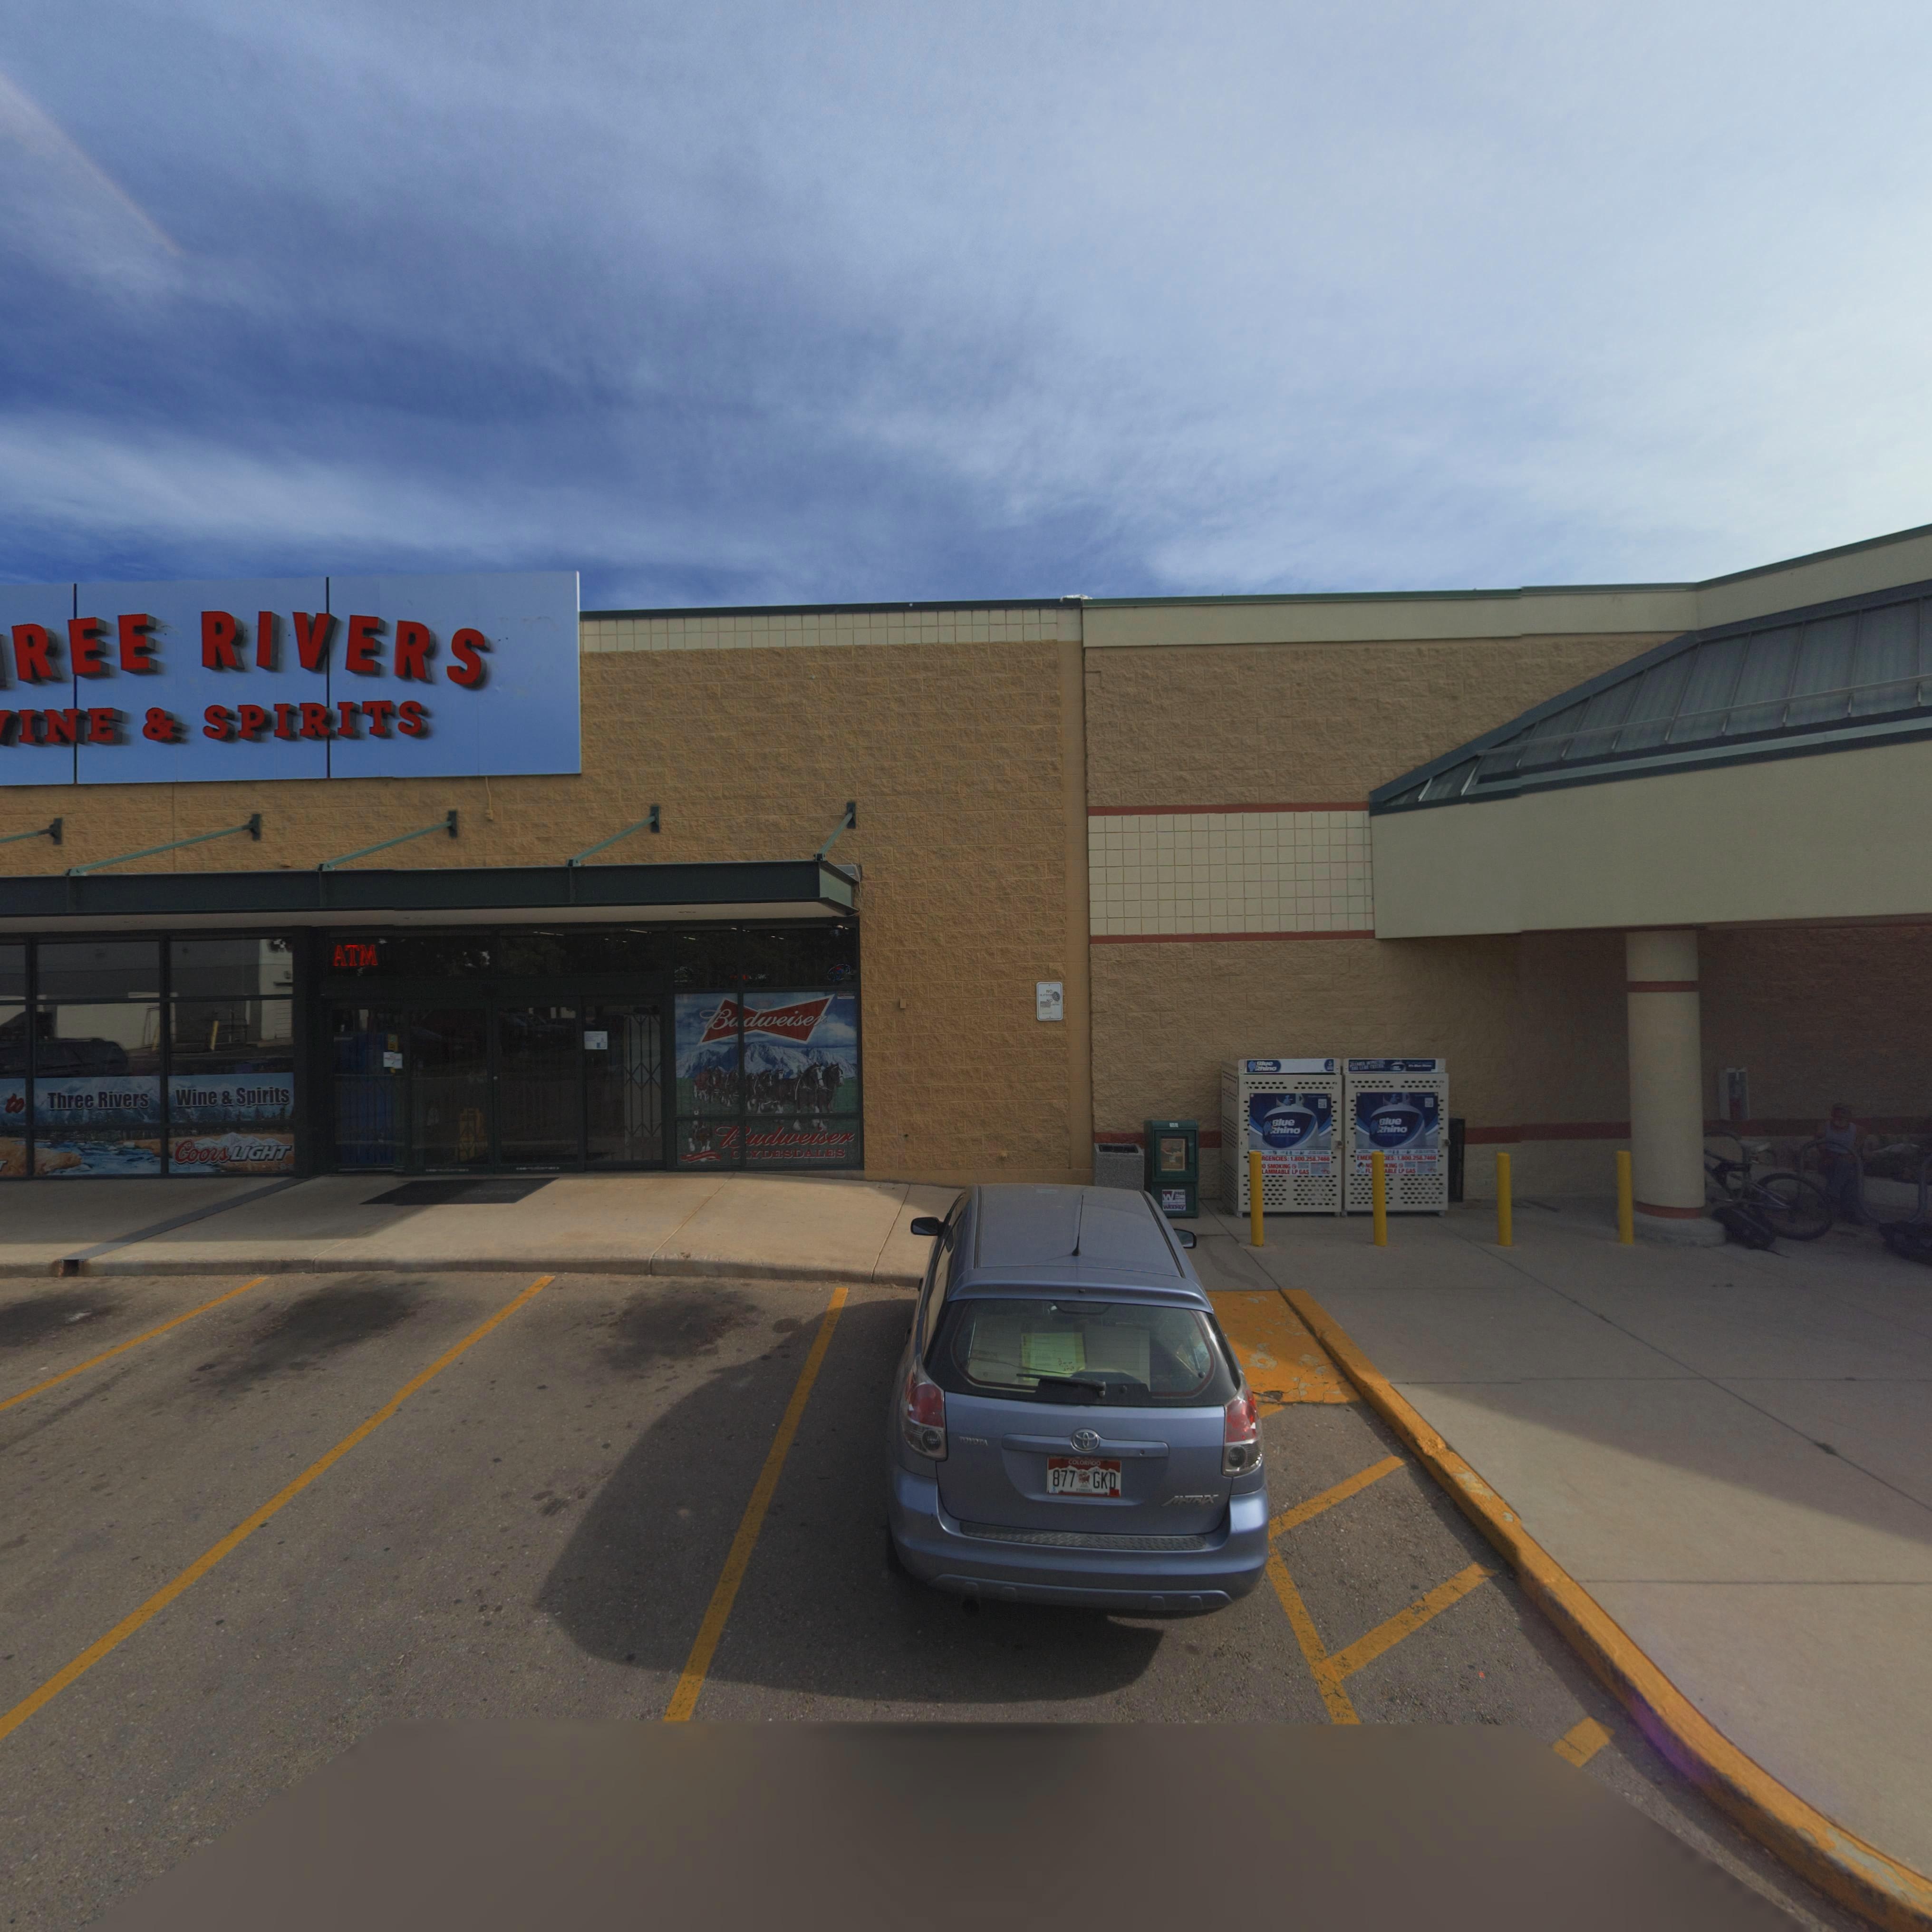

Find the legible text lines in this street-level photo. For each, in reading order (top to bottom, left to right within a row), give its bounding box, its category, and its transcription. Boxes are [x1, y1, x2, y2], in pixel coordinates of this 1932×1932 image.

[11, 609, 489, 689] BusinessName: REE RIVERS
[16, 700, 424, 745] BusinessName: INE & SPIRITS
[47, 1091, 149, 1109] BusinessName: Three Rivers
[174, 1086, 290, 1107] BusinessName: Wine & Spirits
[1262, 1163, 1290, 1169] None: X